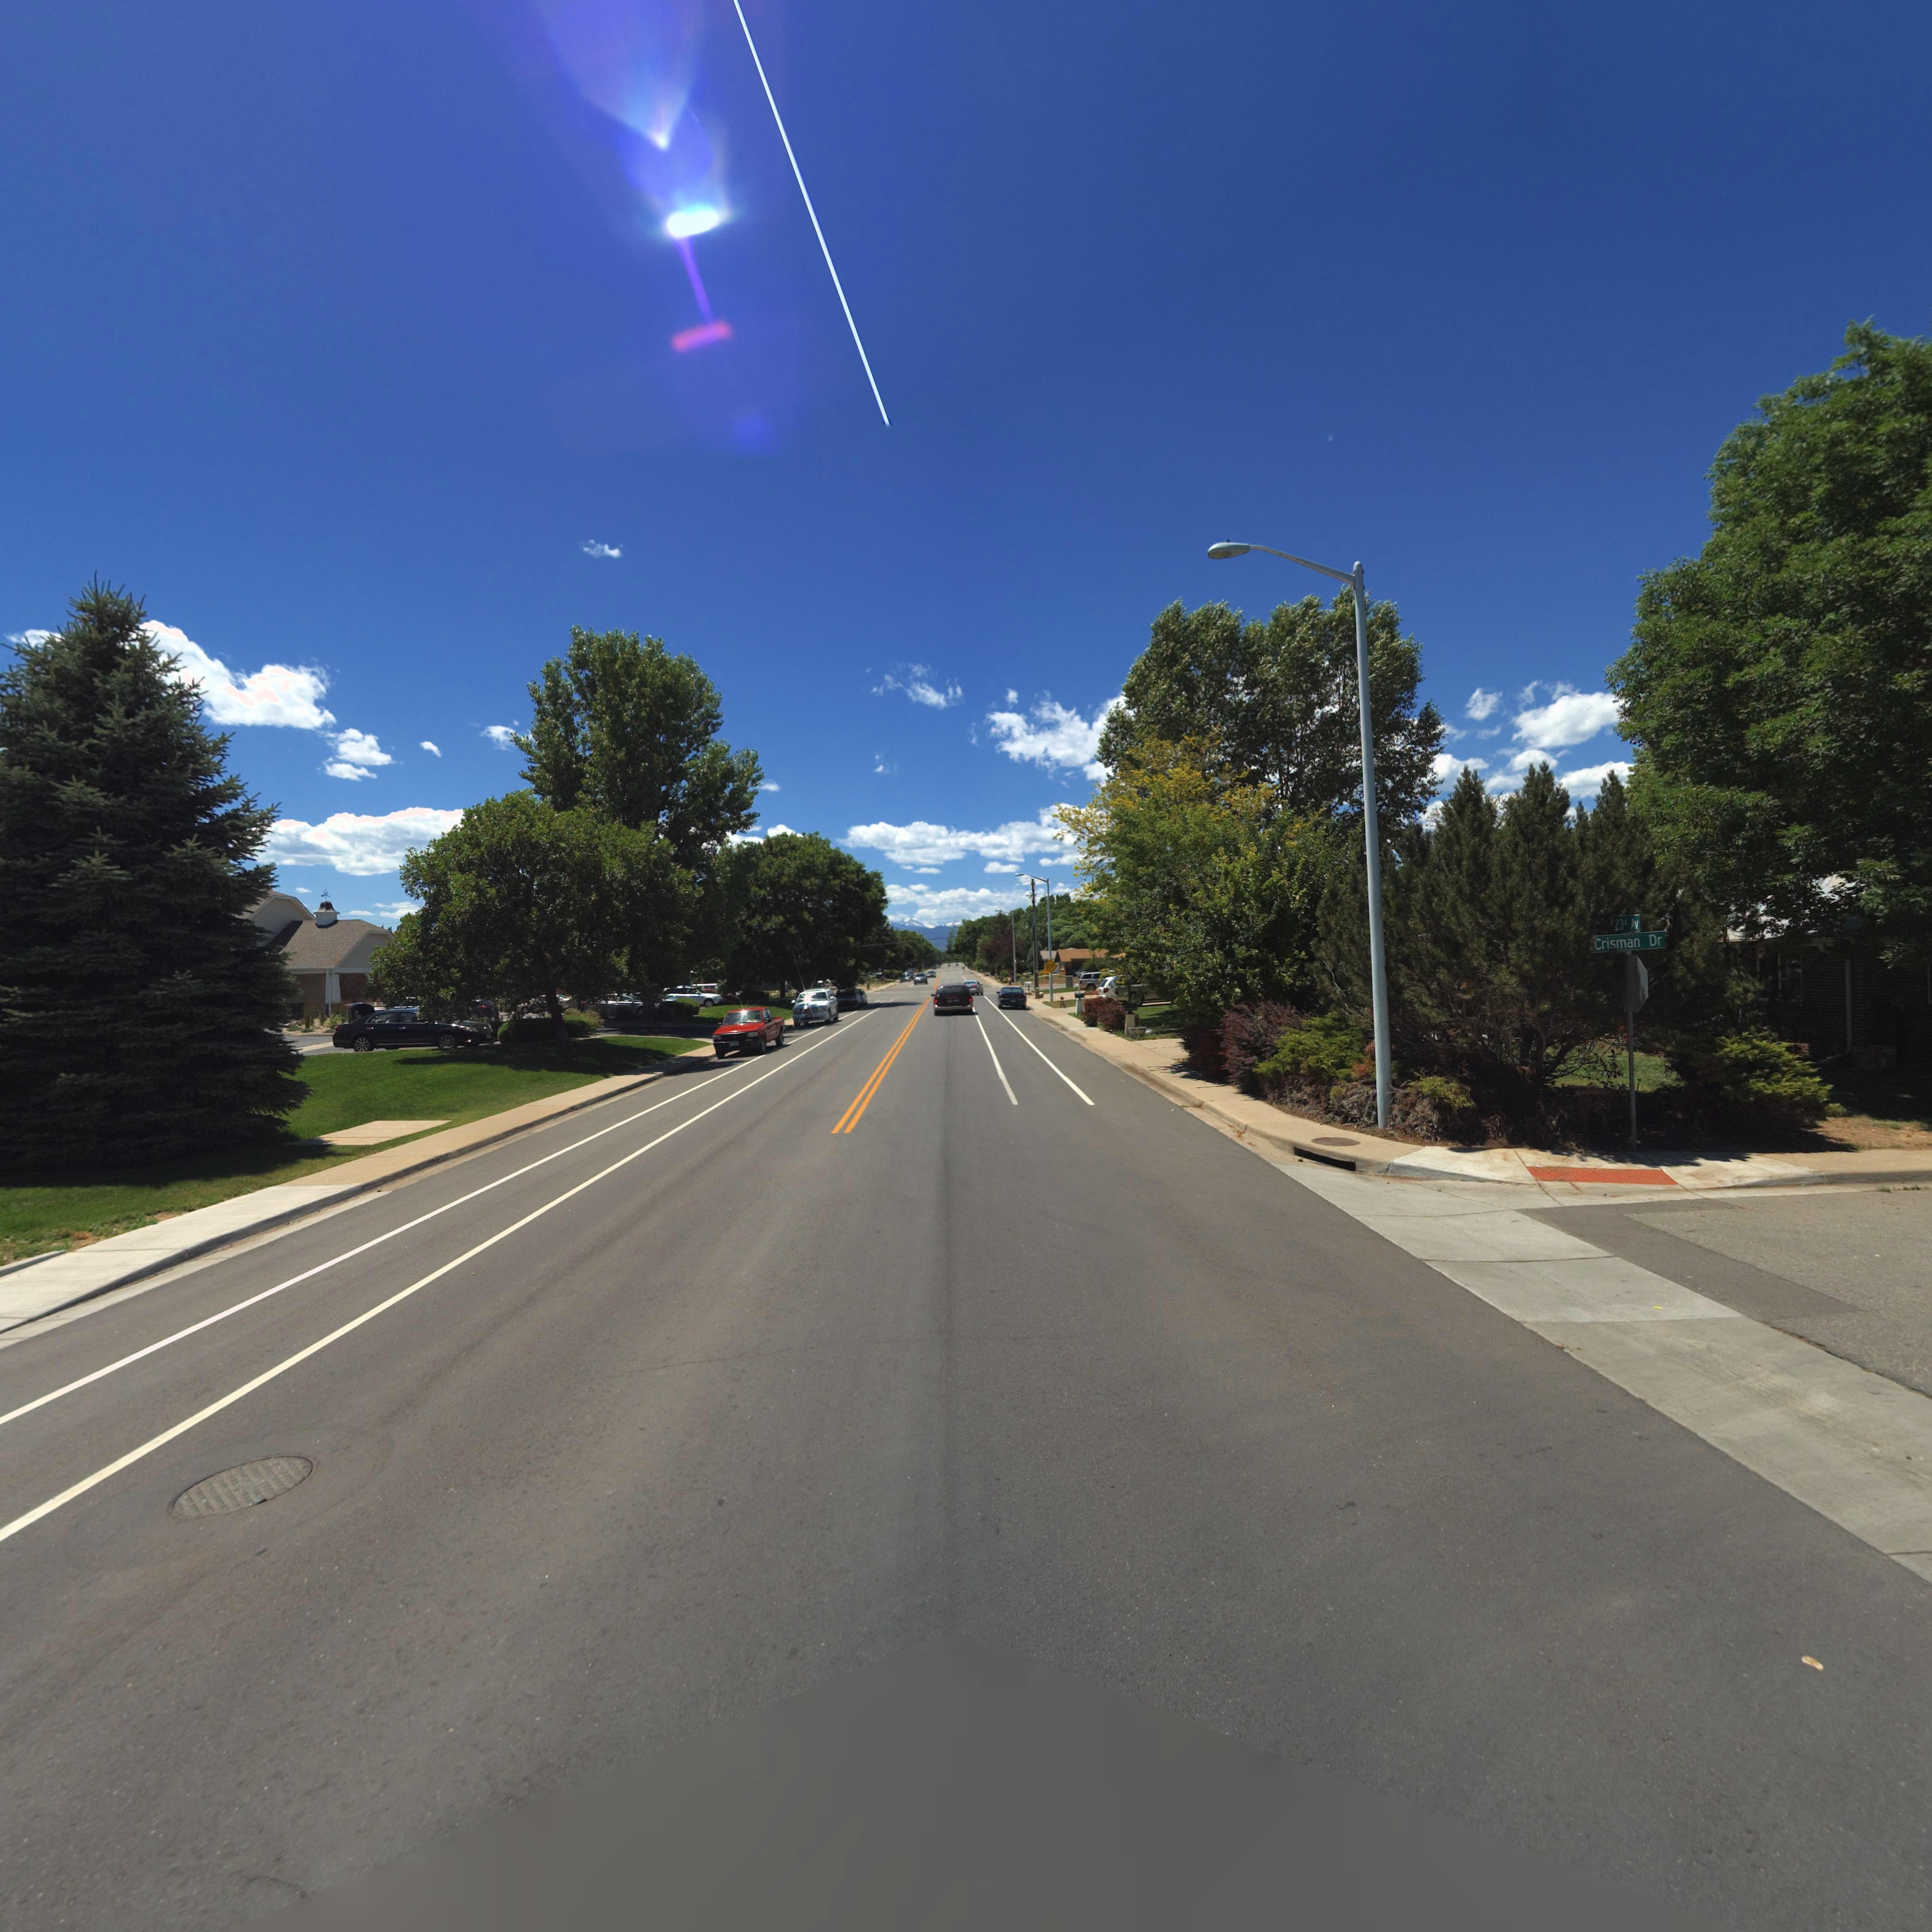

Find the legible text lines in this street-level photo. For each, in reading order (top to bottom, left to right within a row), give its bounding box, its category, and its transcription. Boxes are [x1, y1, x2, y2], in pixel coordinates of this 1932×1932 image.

[1613, 917, 1639, 931] StreetName: 23rd Av
[1593, 934, 1662, 950] StreetName: Crisman Dr